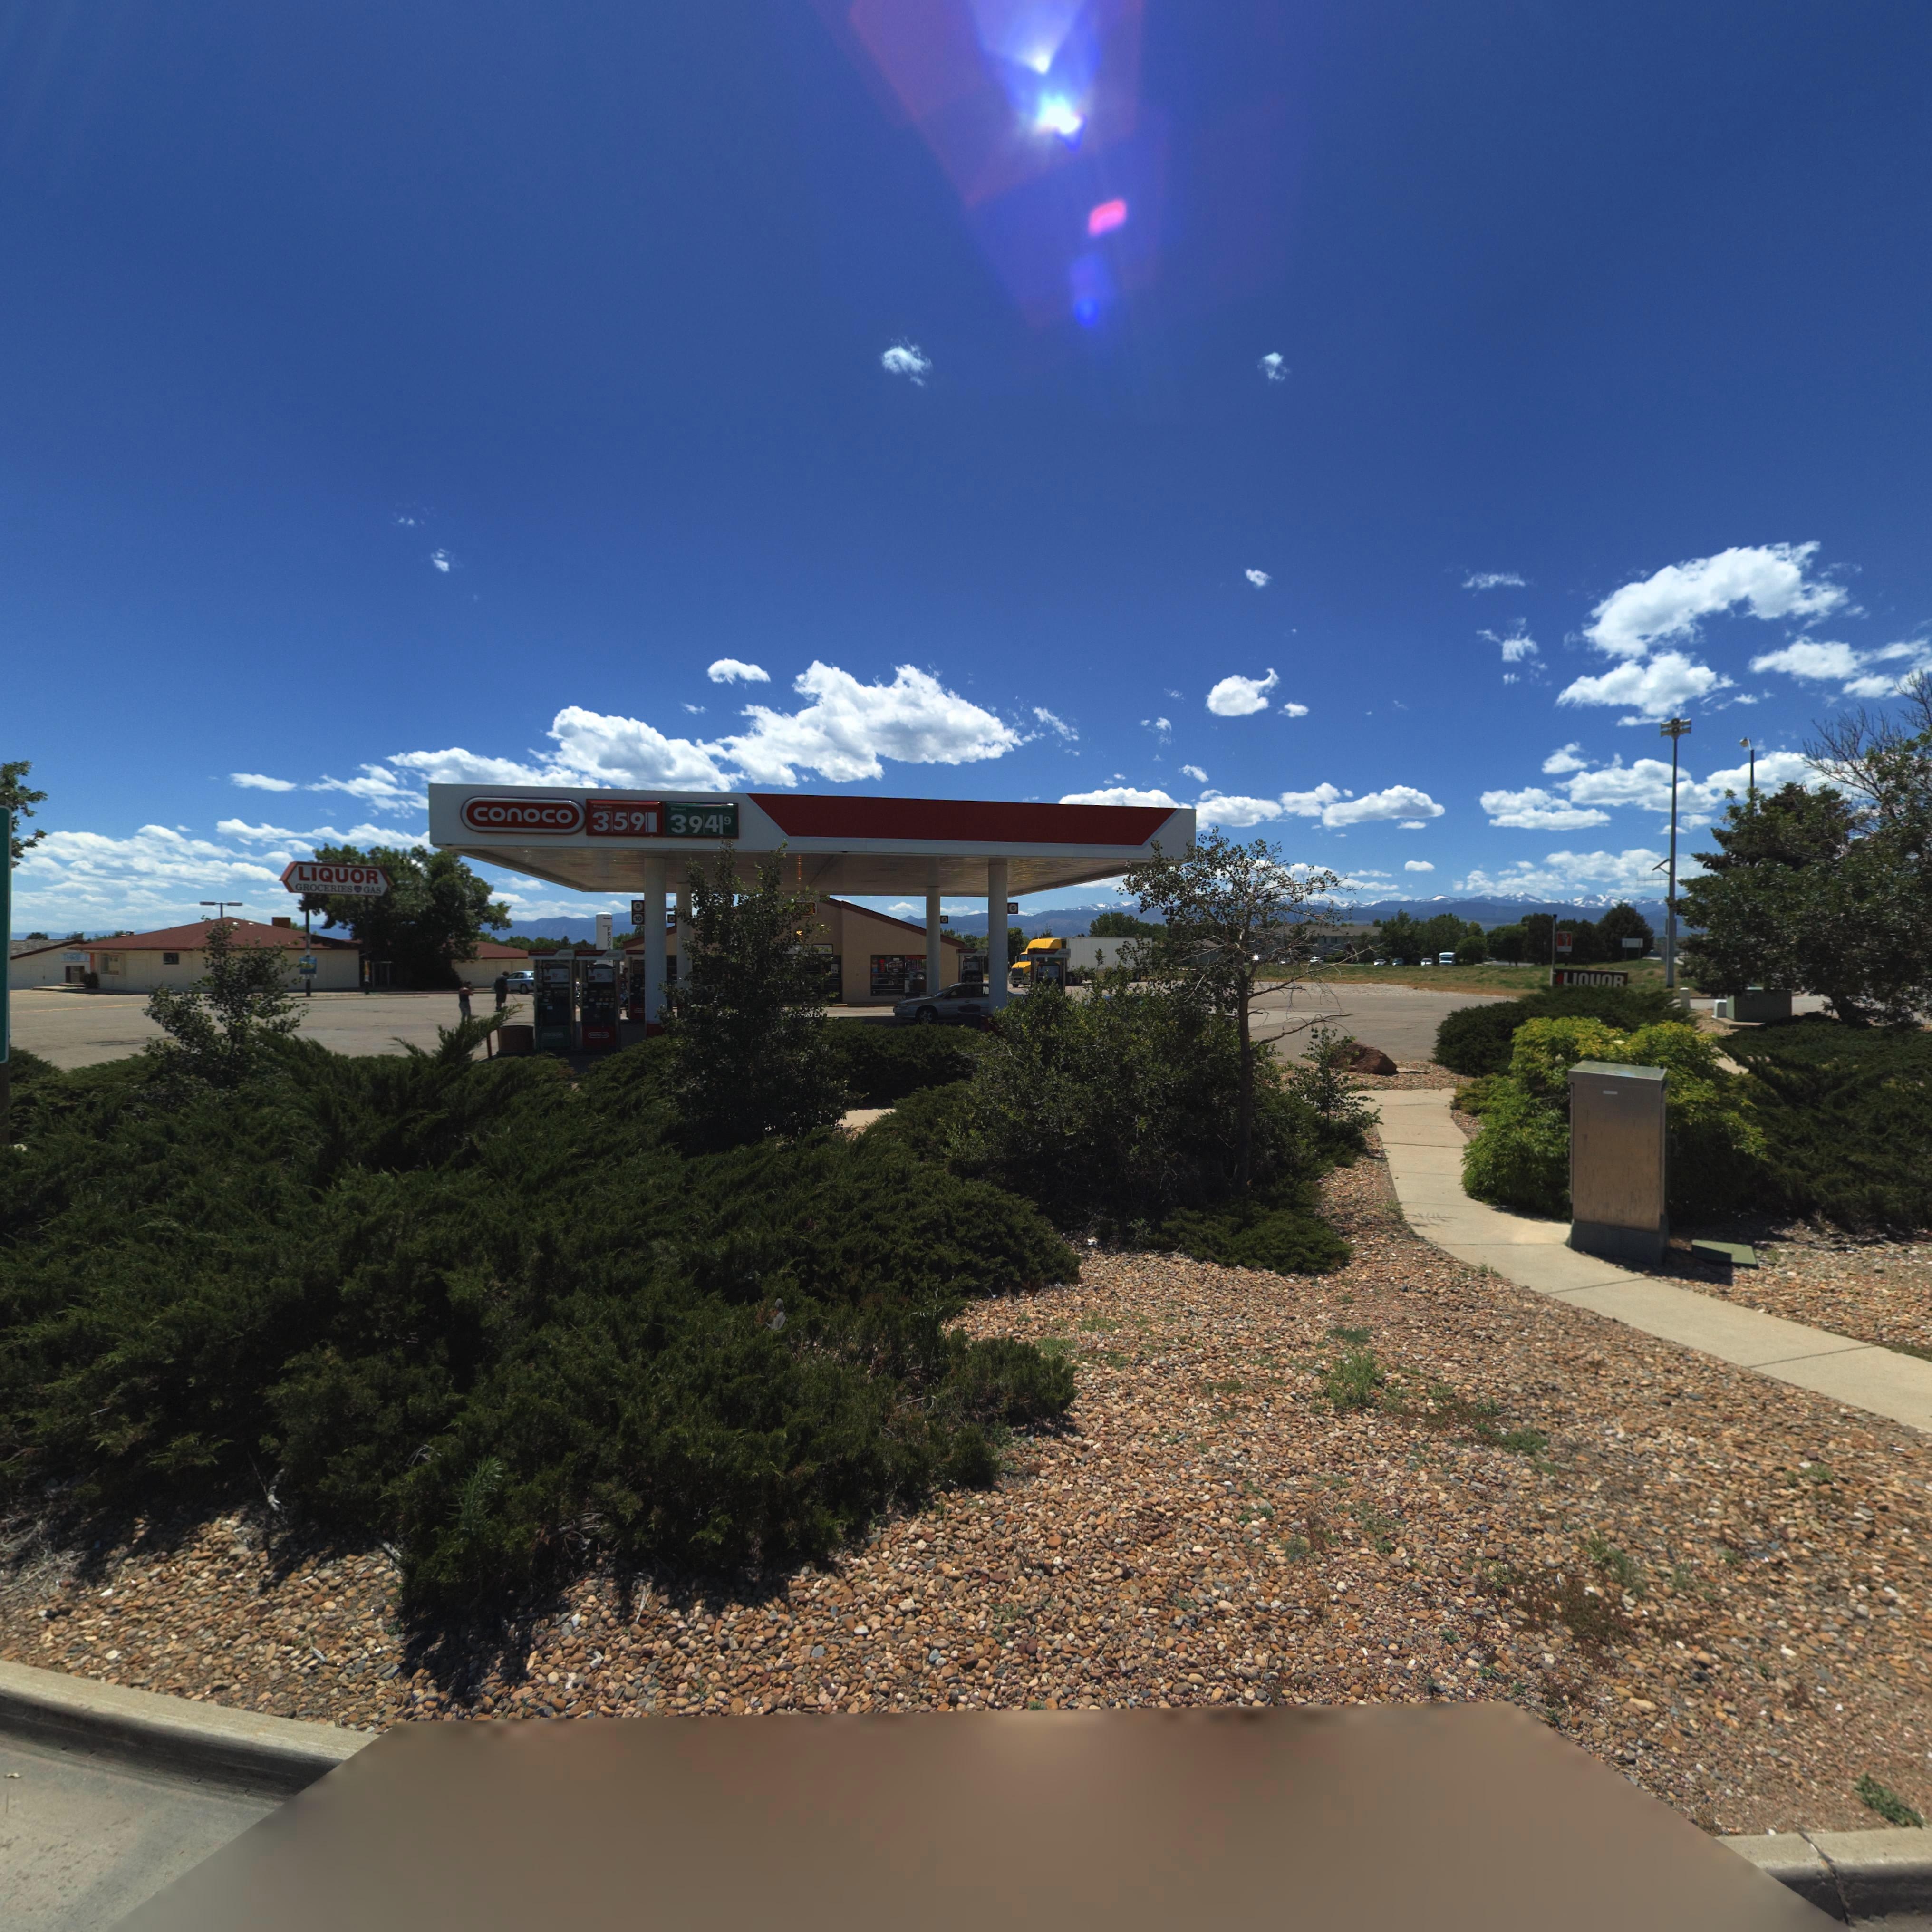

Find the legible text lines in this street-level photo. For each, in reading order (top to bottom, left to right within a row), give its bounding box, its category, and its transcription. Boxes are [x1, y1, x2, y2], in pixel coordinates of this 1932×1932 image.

[472, 806, 574, 824] BusinessName: conoco
[805, 907, 811, 912] BusinessName: o